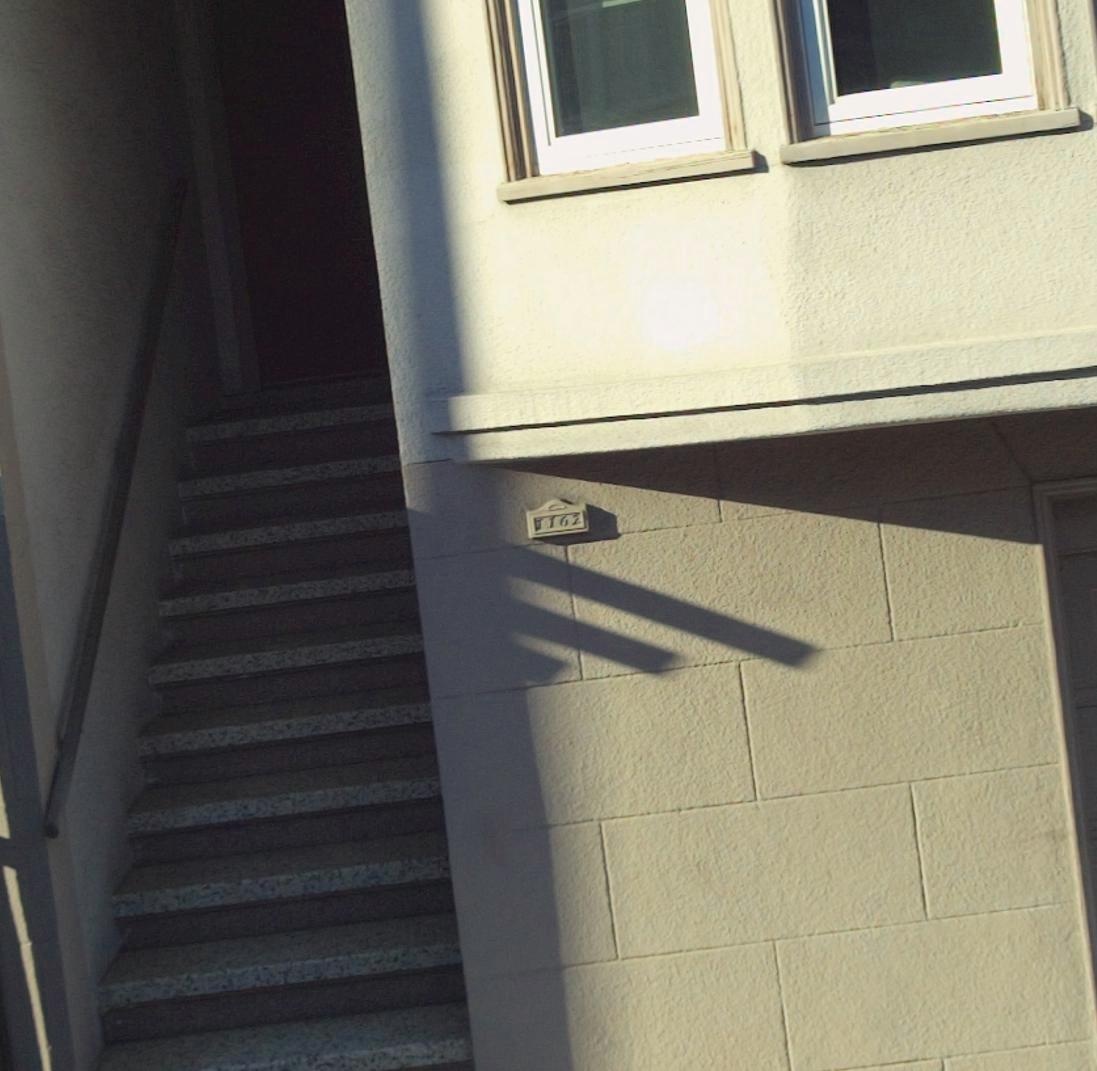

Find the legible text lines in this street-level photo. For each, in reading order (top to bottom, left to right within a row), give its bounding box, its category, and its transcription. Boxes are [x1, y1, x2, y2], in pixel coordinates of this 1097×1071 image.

[533, 512, 583, 532] StreetNumber: 1162